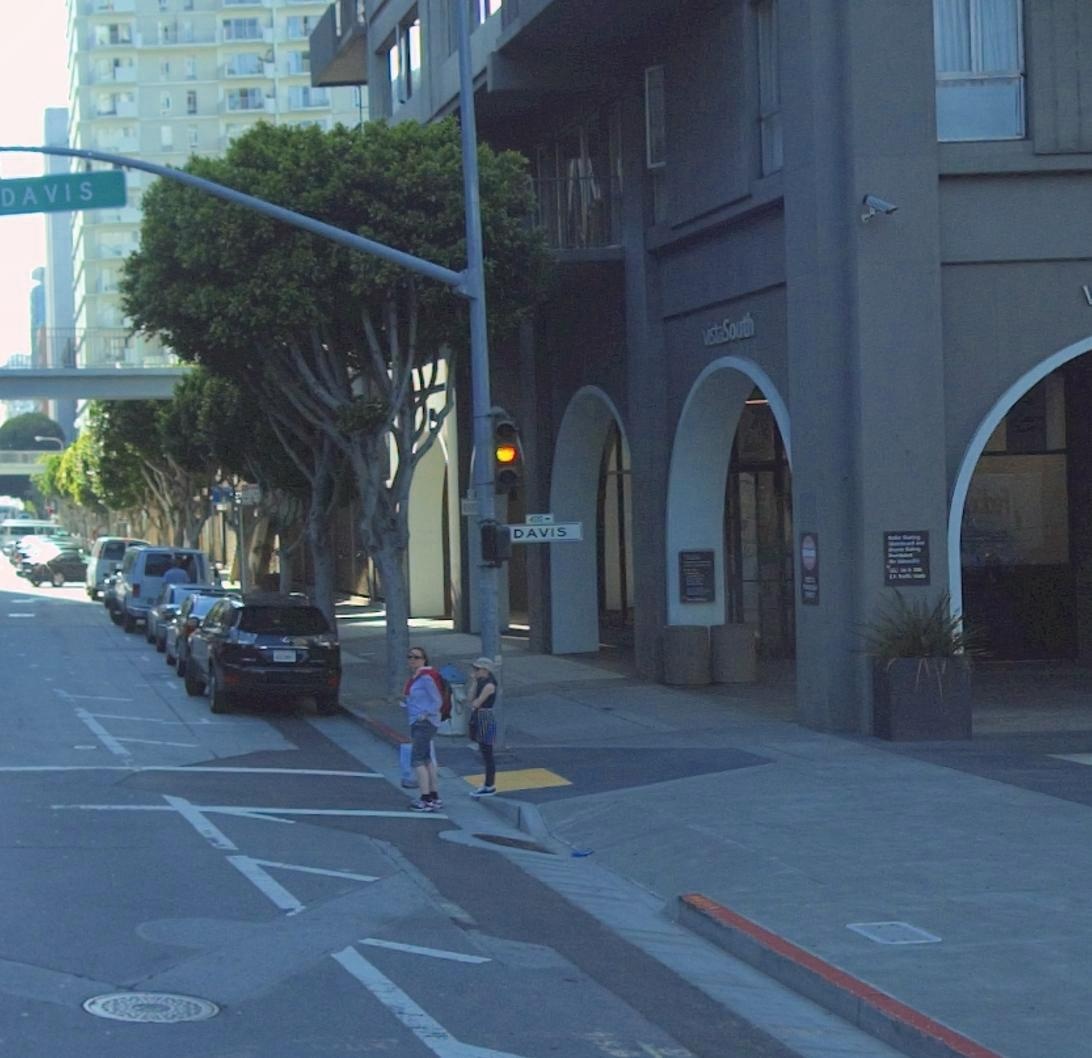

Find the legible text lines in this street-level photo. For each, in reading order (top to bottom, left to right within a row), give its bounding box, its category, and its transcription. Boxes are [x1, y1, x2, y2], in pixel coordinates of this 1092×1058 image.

[0, 178, 97, 211] StreetName: DAVIS
[695, 307, 759, 350] BusinessName: vist*South
[511, 524, 569, 542] StreetName: DAVIS